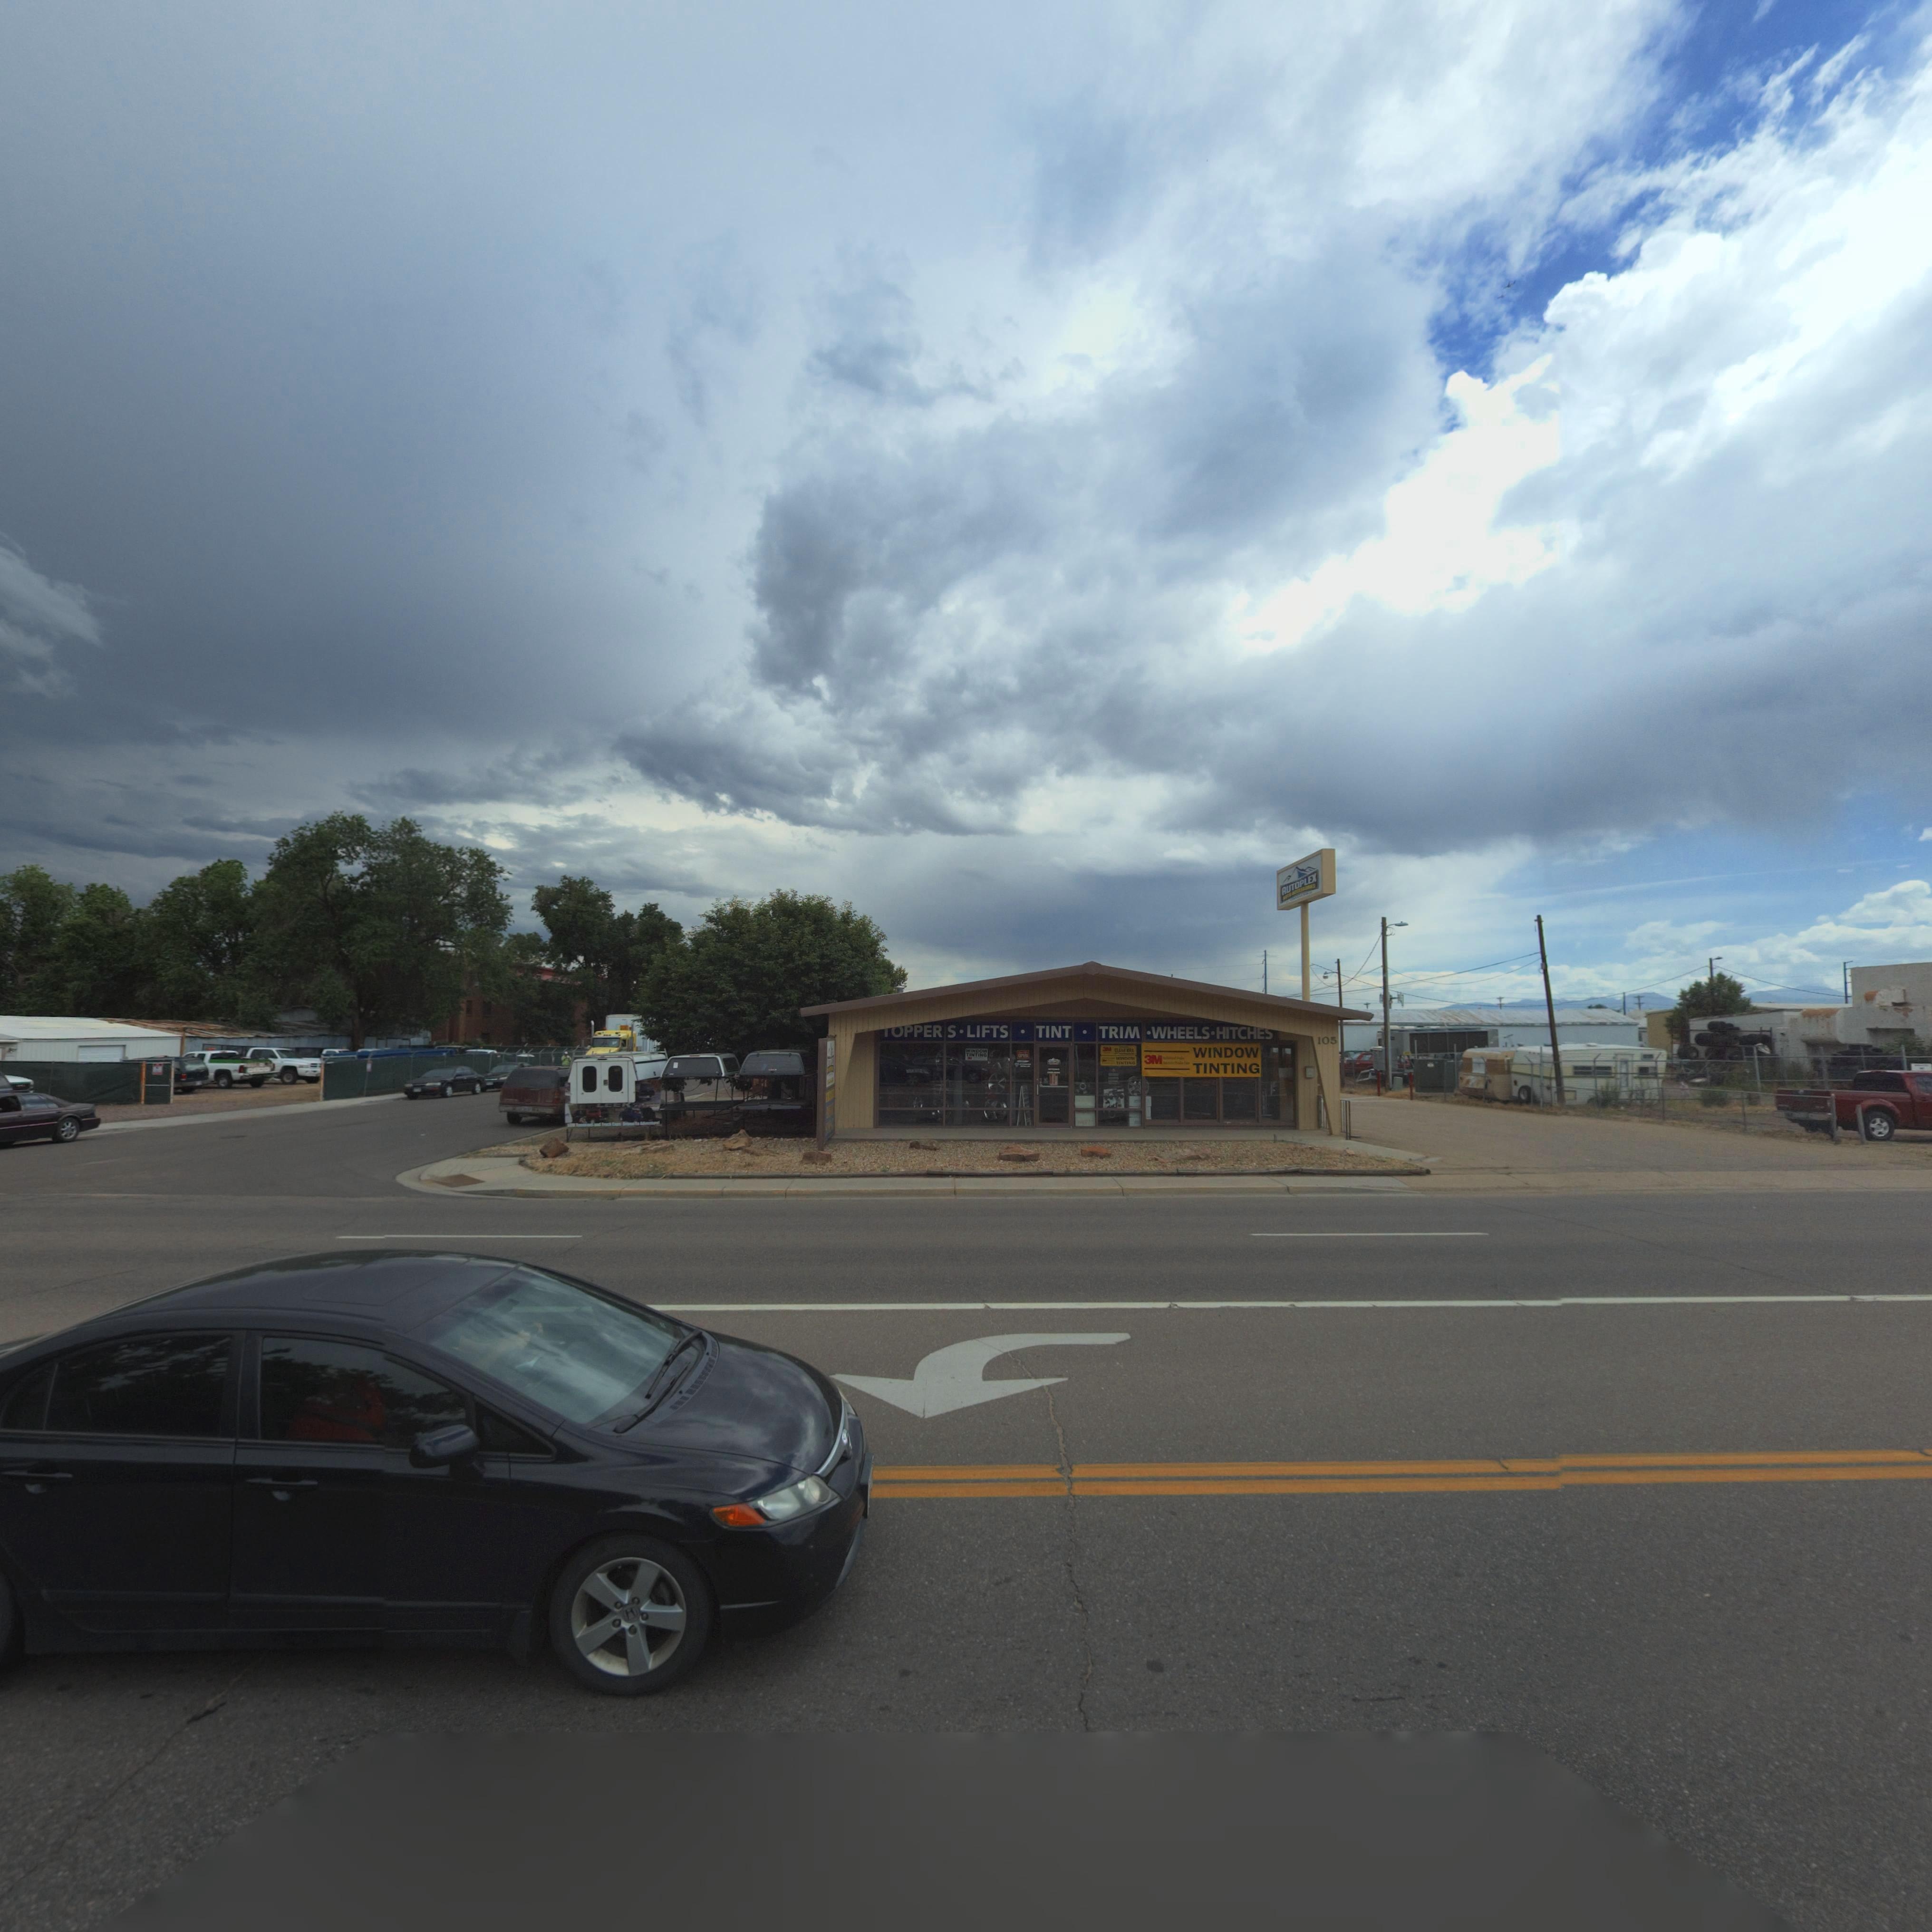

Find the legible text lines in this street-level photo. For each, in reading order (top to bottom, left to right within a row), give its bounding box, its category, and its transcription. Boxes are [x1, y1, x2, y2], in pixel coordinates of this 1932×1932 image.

[1281, 872, 1316, 896] BusinessName: AUTOPLEX
[1282, 883, 1316, 900] BusinessName: AUTO ACCESSORIES